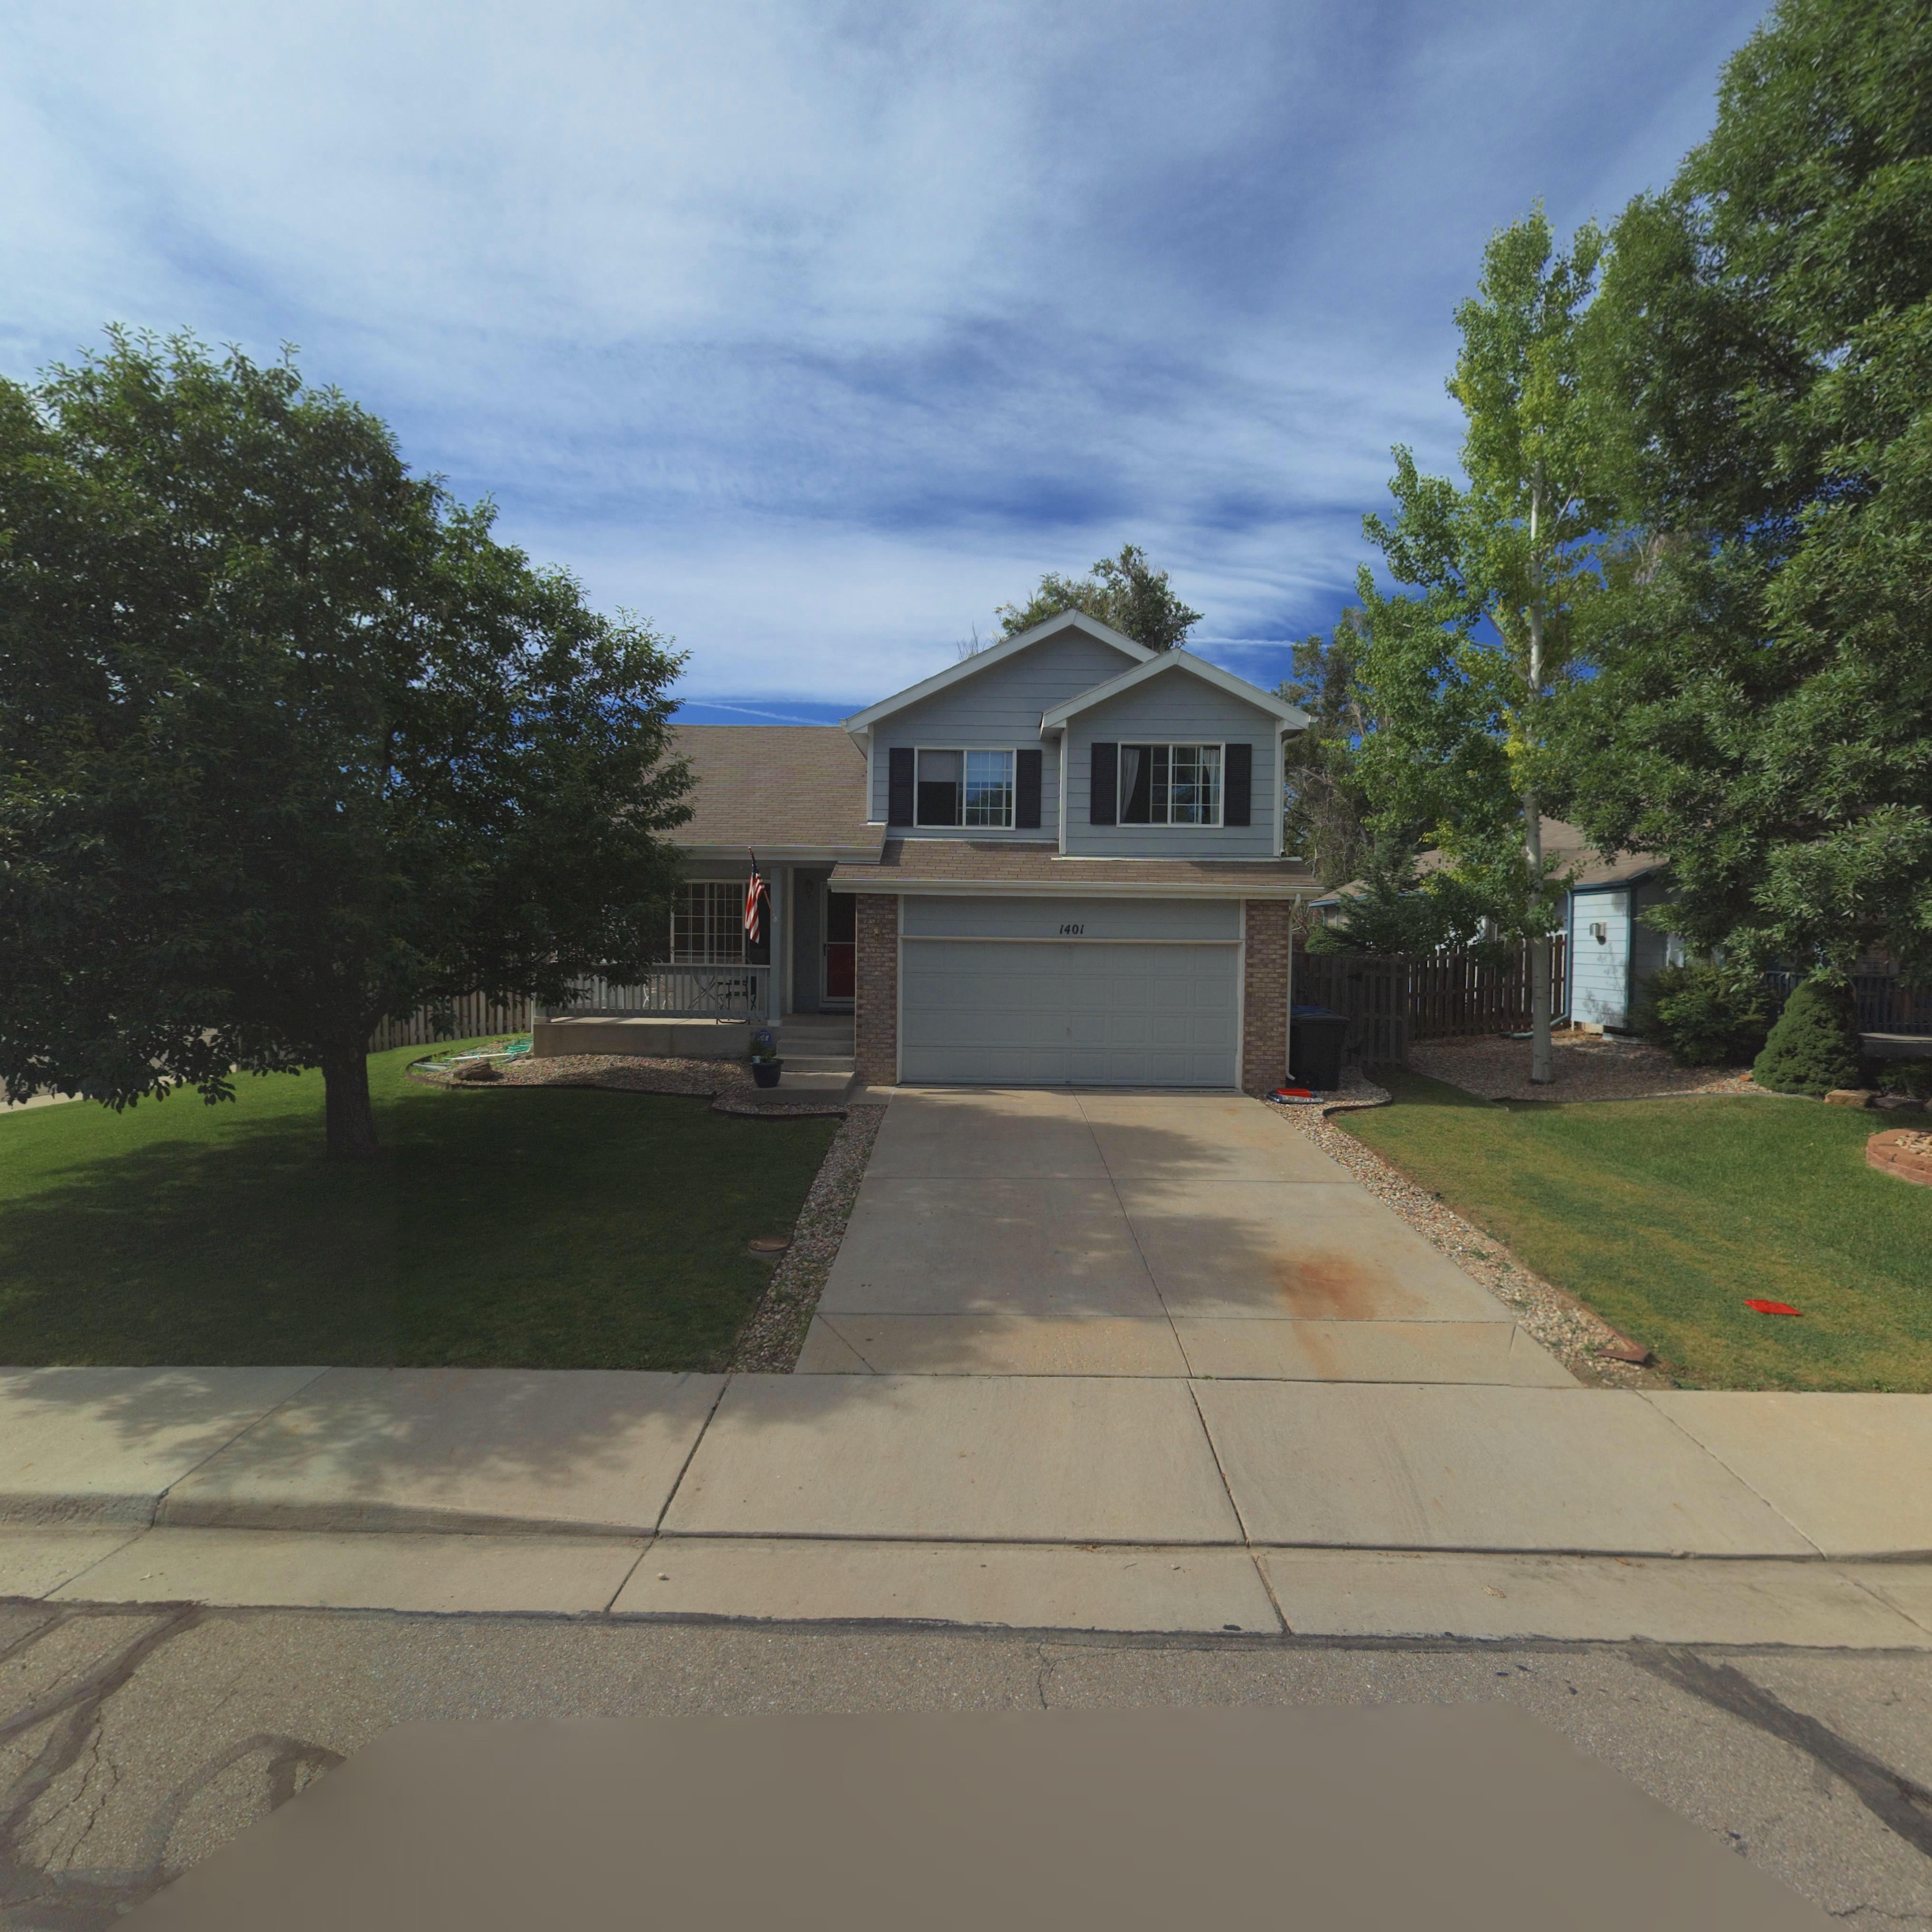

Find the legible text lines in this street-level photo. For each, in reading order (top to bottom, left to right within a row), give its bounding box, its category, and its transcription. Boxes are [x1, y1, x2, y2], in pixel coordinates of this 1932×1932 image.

[1059, 923, 1084, 935] StreetNumber: 1401